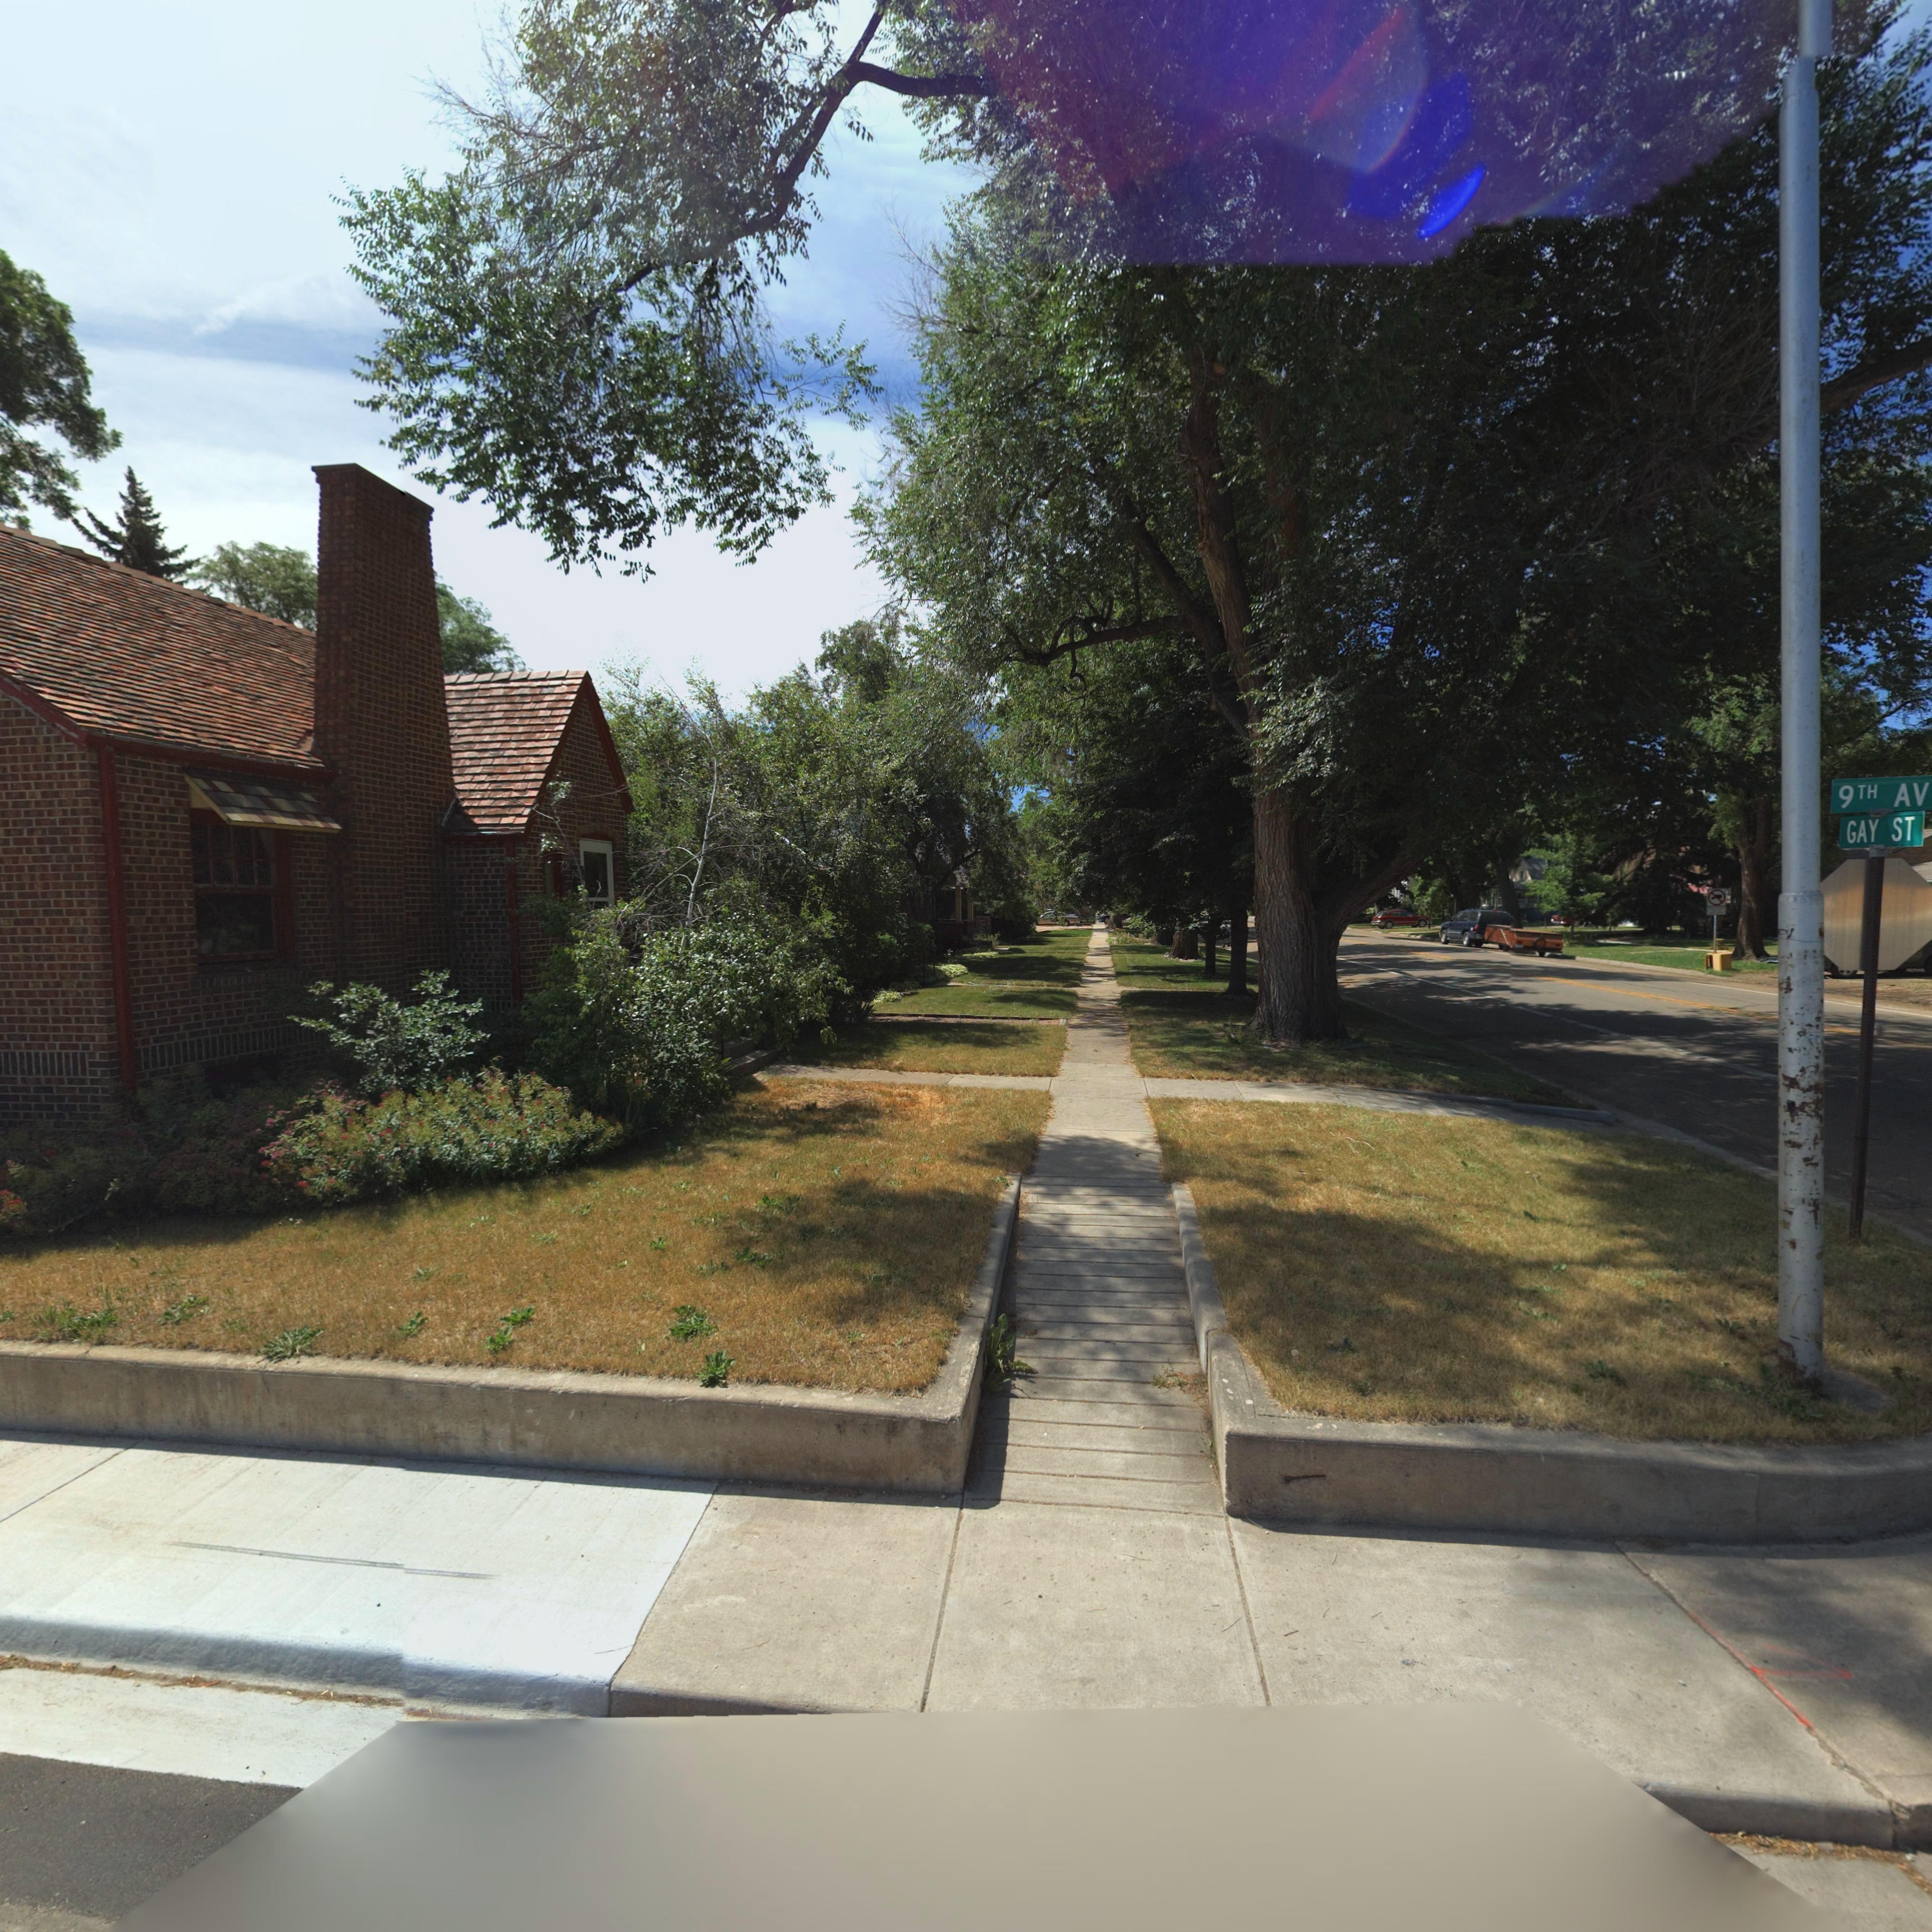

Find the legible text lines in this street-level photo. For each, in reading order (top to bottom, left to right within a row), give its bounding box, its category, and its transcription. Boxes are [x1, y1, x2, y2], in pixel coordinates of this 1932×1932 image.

[1837, 781, 1931, 810] StreetName: 9TH AV
[1845, 815, 1918, 844] StreetName: GAY ST